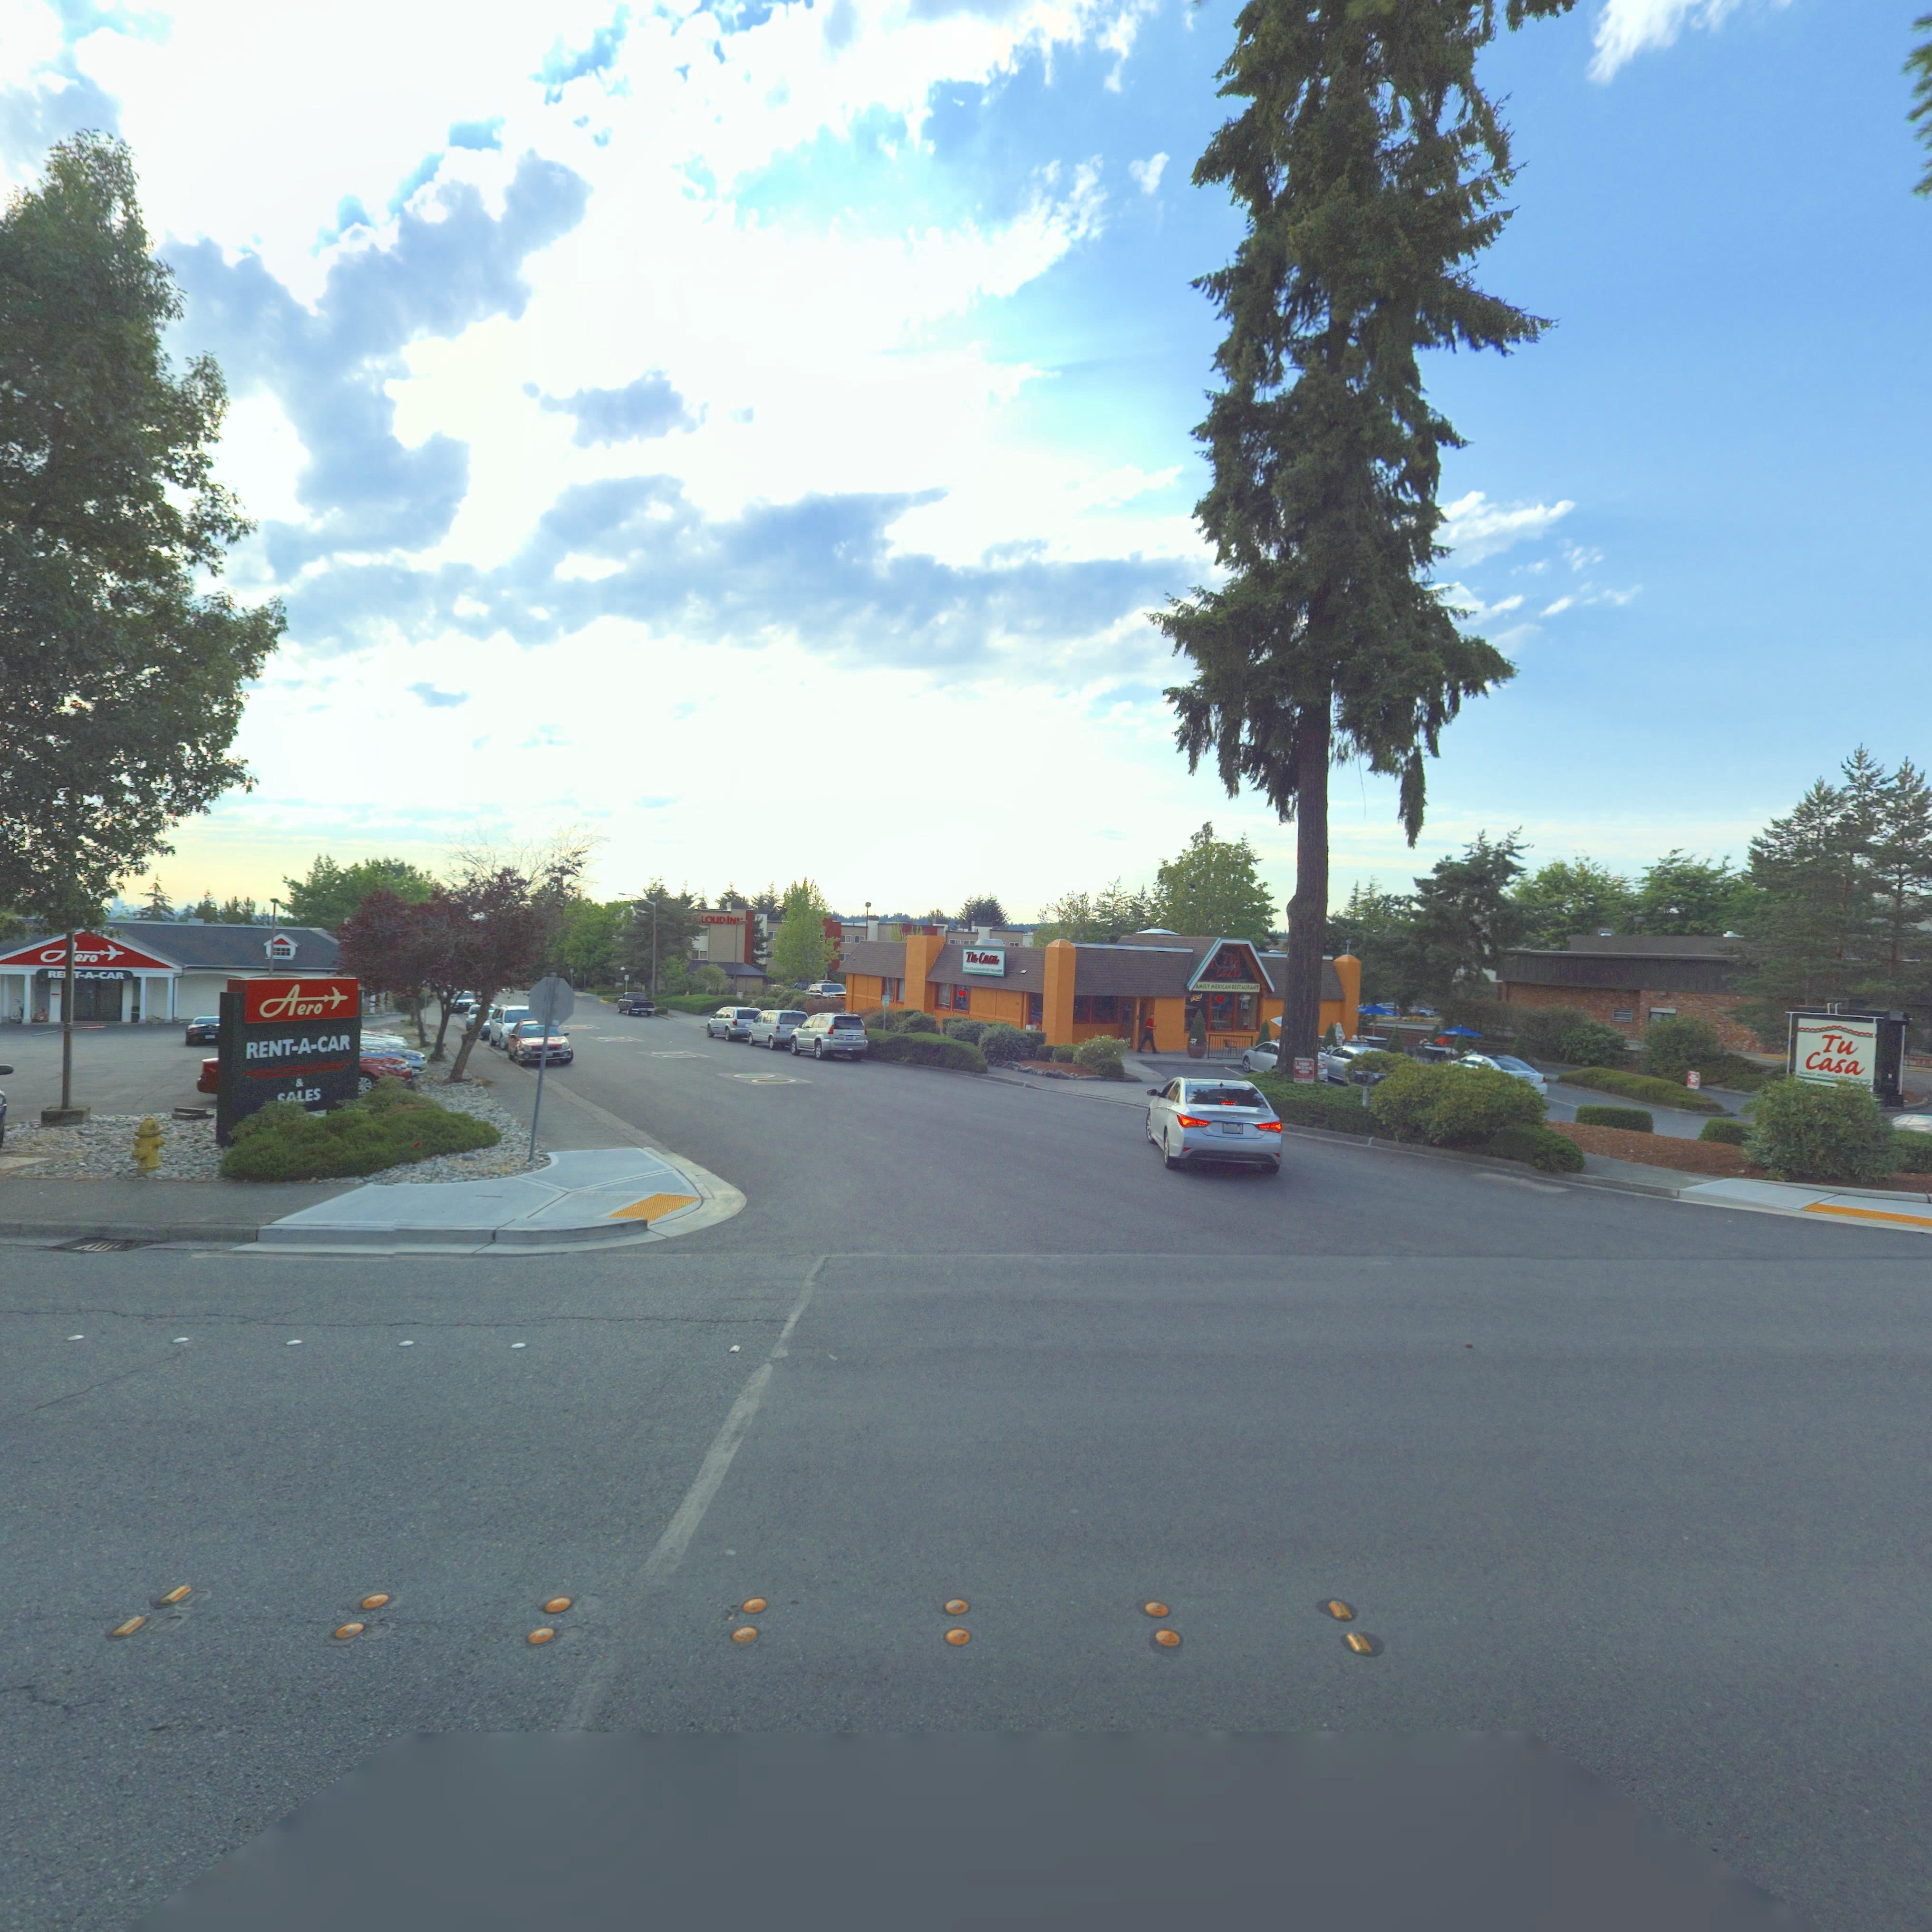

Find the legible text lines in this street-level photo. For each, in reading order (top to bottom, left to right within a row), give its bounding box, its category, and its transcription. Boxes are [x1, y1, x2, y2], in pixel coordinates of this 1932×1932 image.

[700, 915, 743, 925] BusinessName: LOUD IN*
[39, 941, 97, 963] BusinessName: *ero
[965, 951, 1001, 966] BusinessName: T* C***
[47, 970, 125, 980] BusinessName: Re***A*CAR
[1195, 983, 1259, 991] BusinessName: *AMILY MEXICAN RESTAU*ANT 
[258, 984, 322, 1019] BusinessName: Aero
[245, 1034, 349, 1059] BusinessName: RENTA CAR
[1820, 1034, 1859, 1055] BusinessName: Tu
[1805, 1050, 1865, 1076] BusinessName: Casa